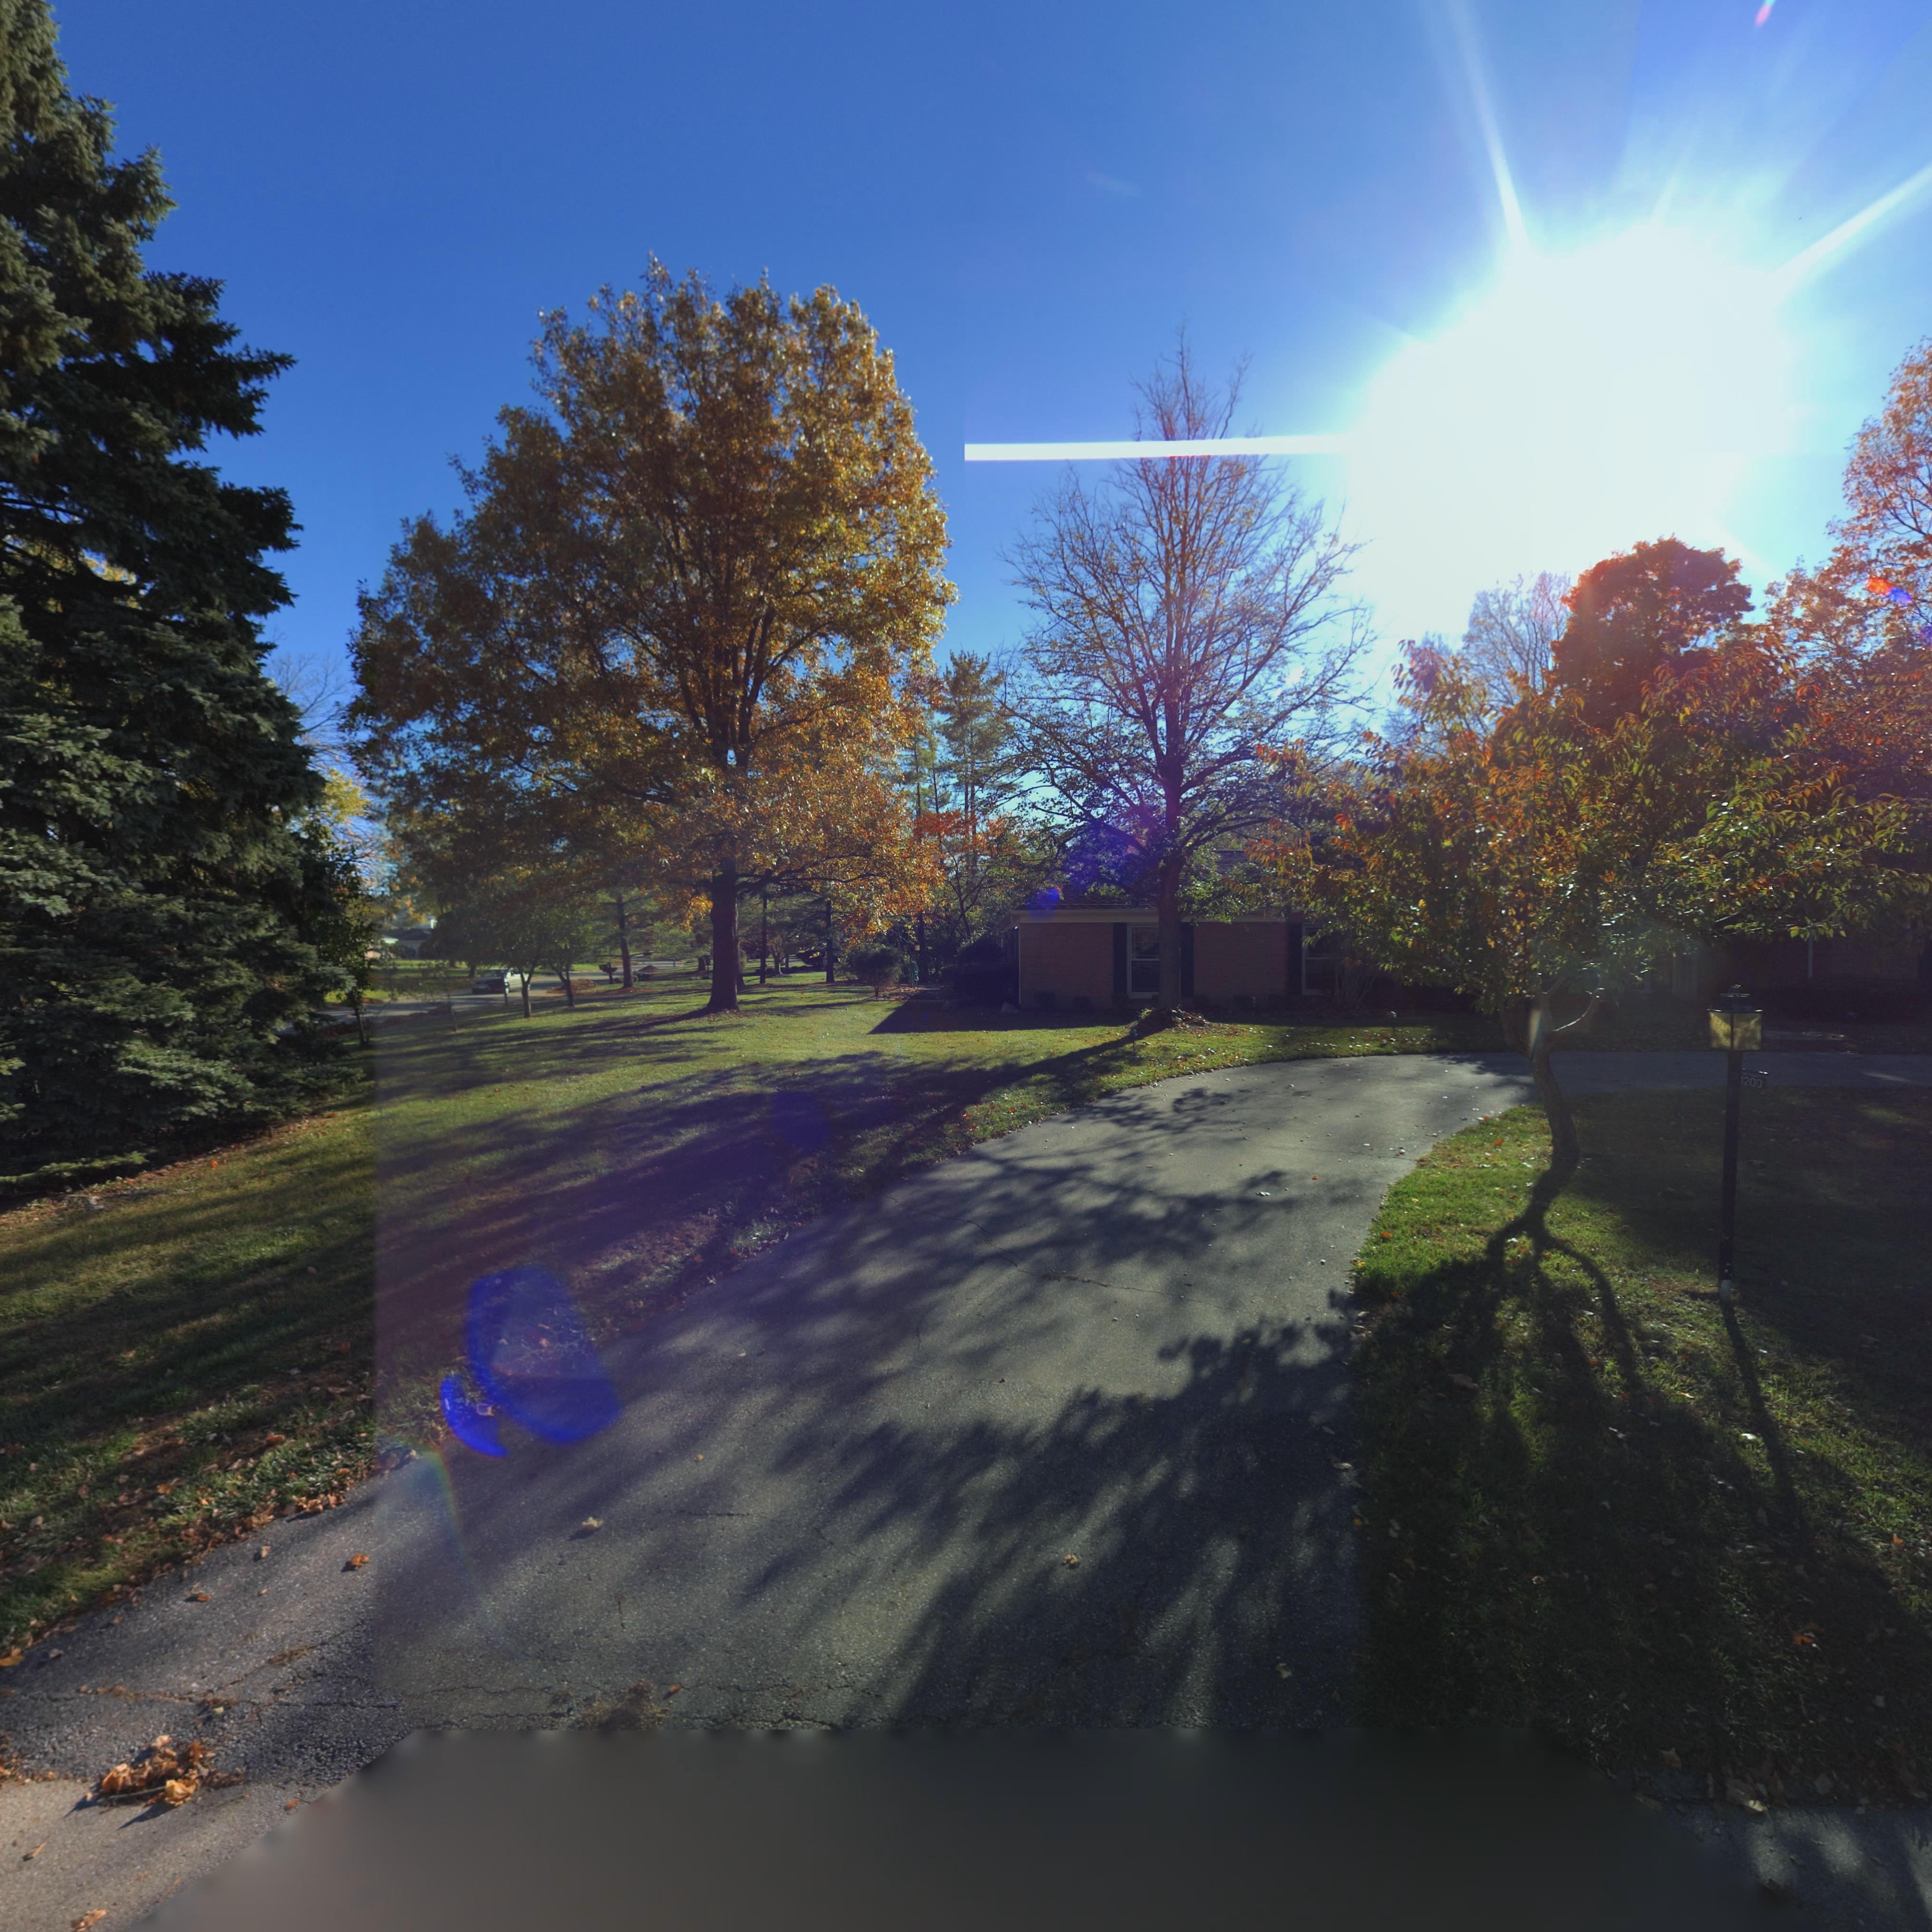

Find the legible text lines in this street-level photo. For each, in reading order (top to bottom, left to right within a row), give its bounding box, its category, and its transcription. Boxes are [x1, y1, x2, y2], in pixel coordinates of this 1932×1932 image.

[1740, 1075, 1764, 1089] StreetNumber: 1200